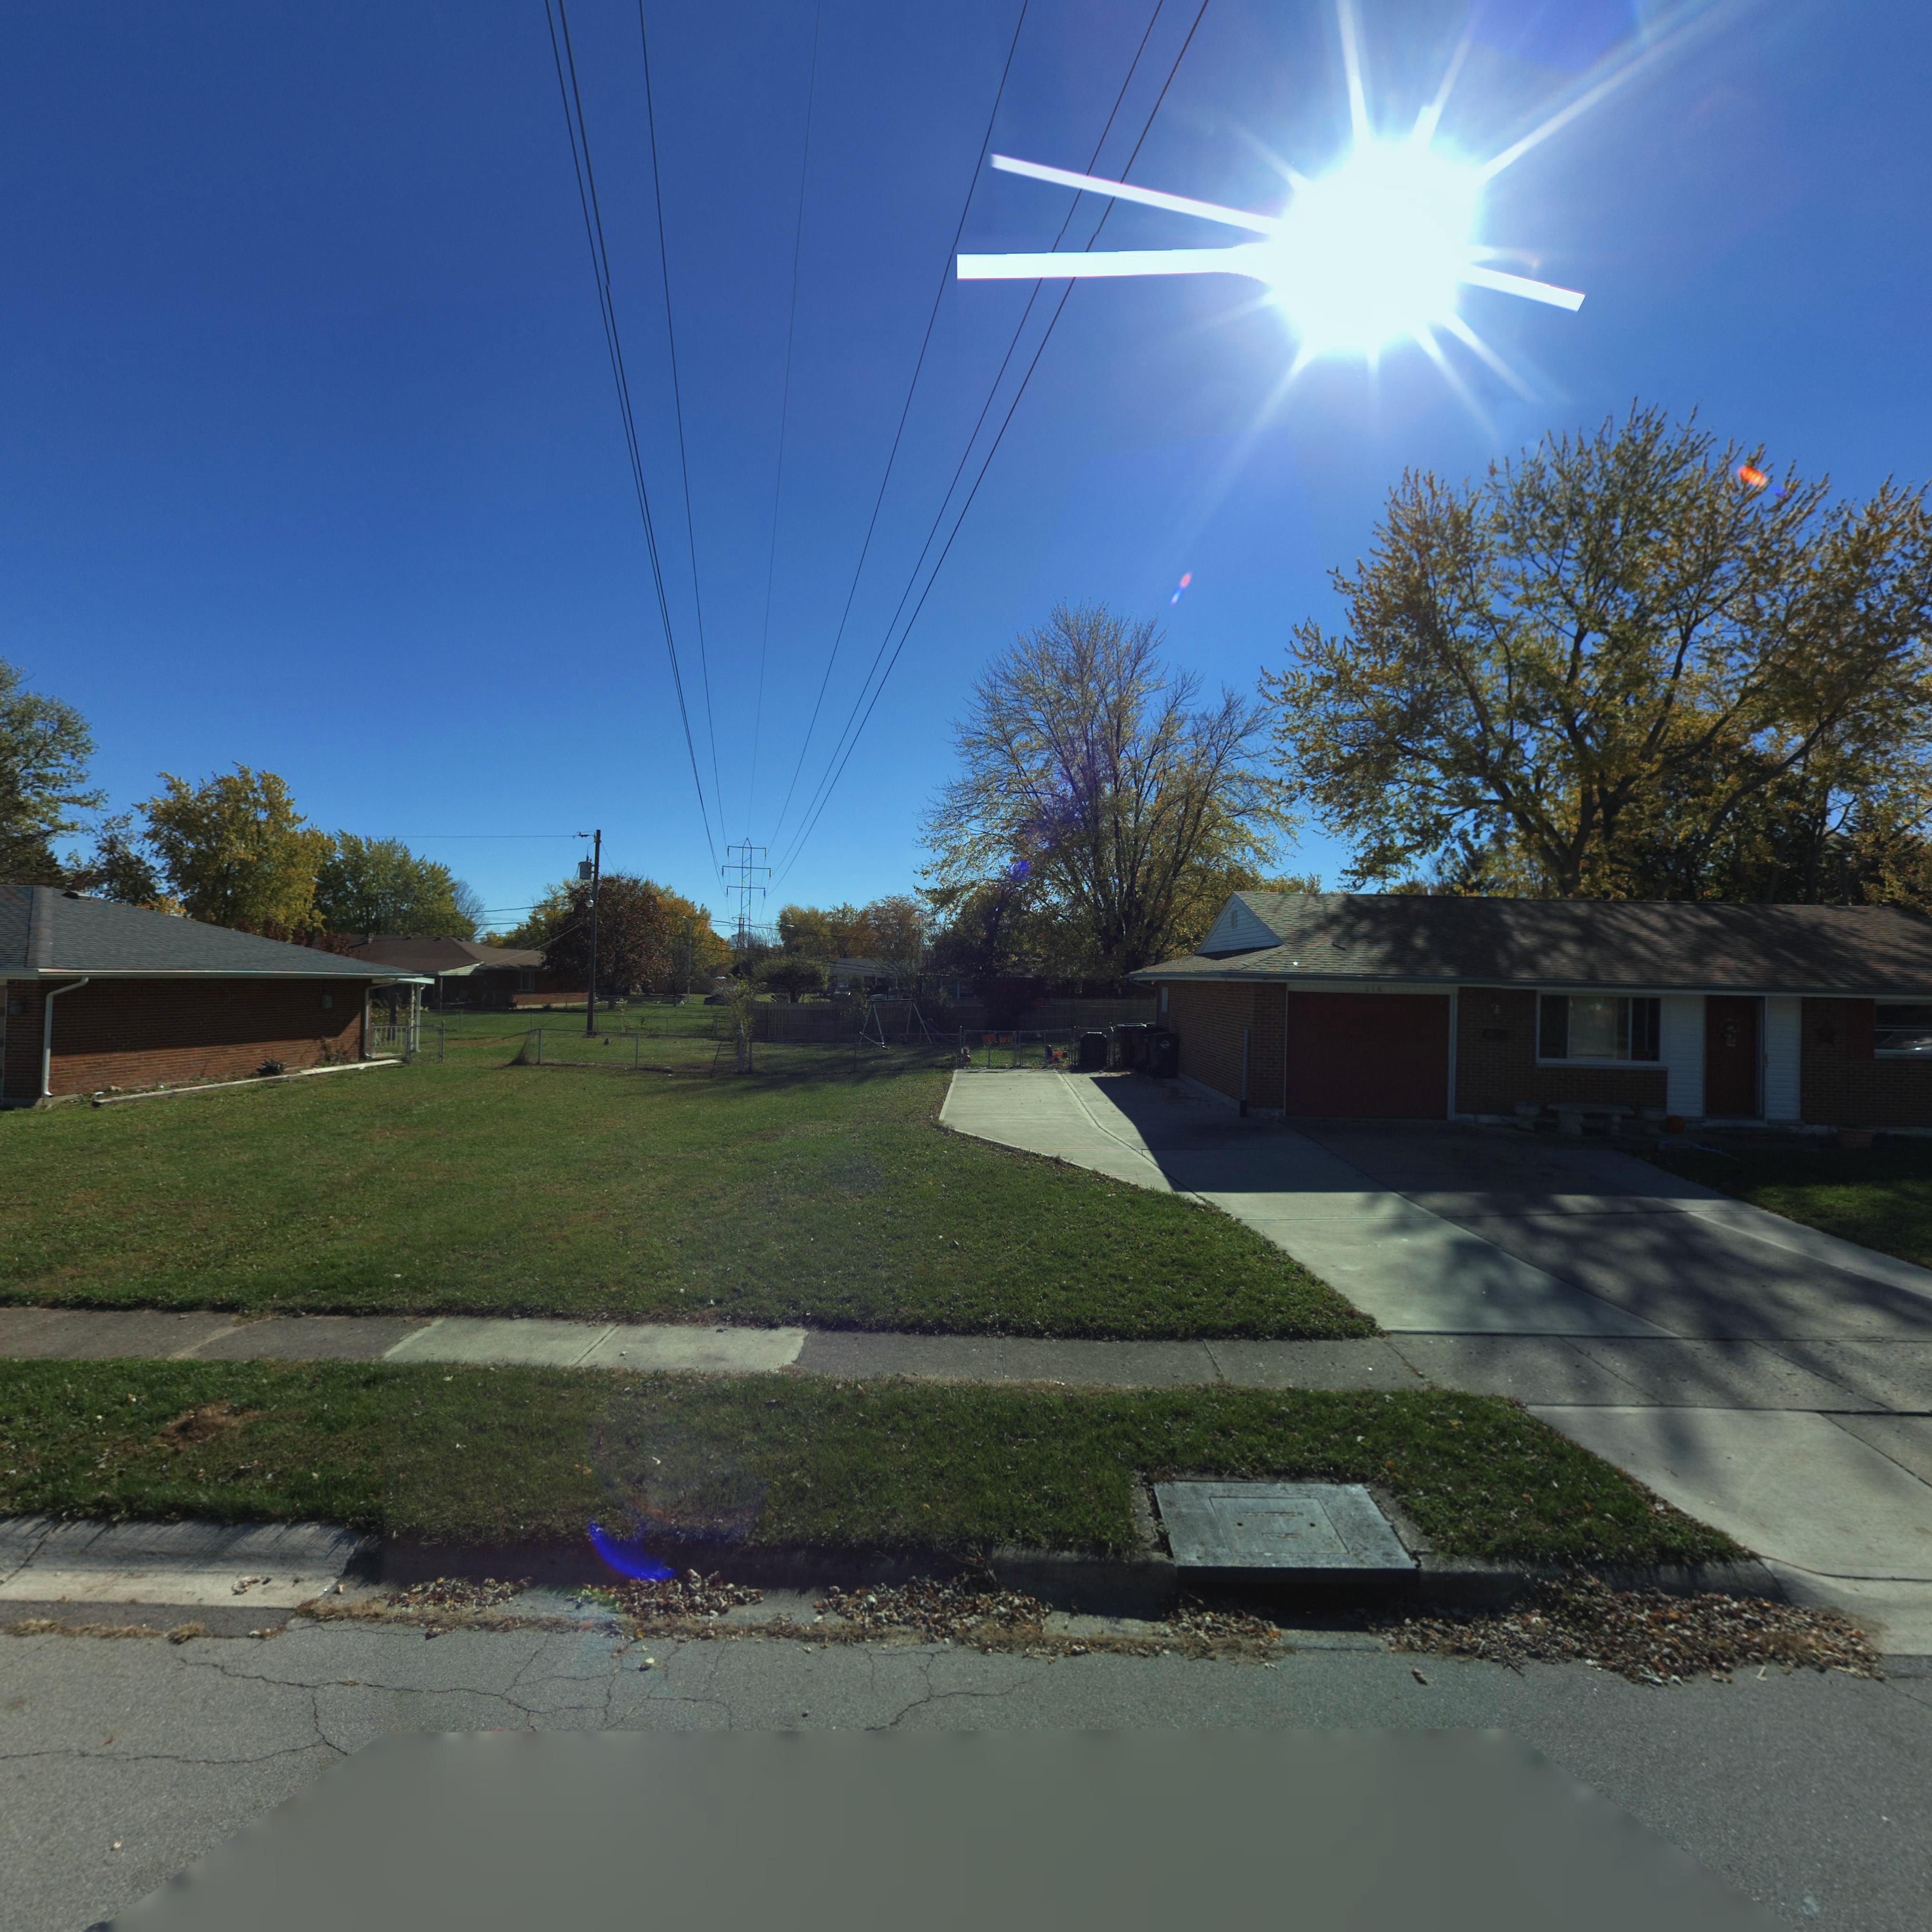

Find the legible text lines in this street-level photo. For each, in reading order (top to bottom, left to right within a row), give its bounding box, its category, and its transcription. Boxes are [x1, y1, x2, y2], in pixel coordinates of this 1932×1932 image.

[1365, 985, 1382, 993] StreetNumber: 1163